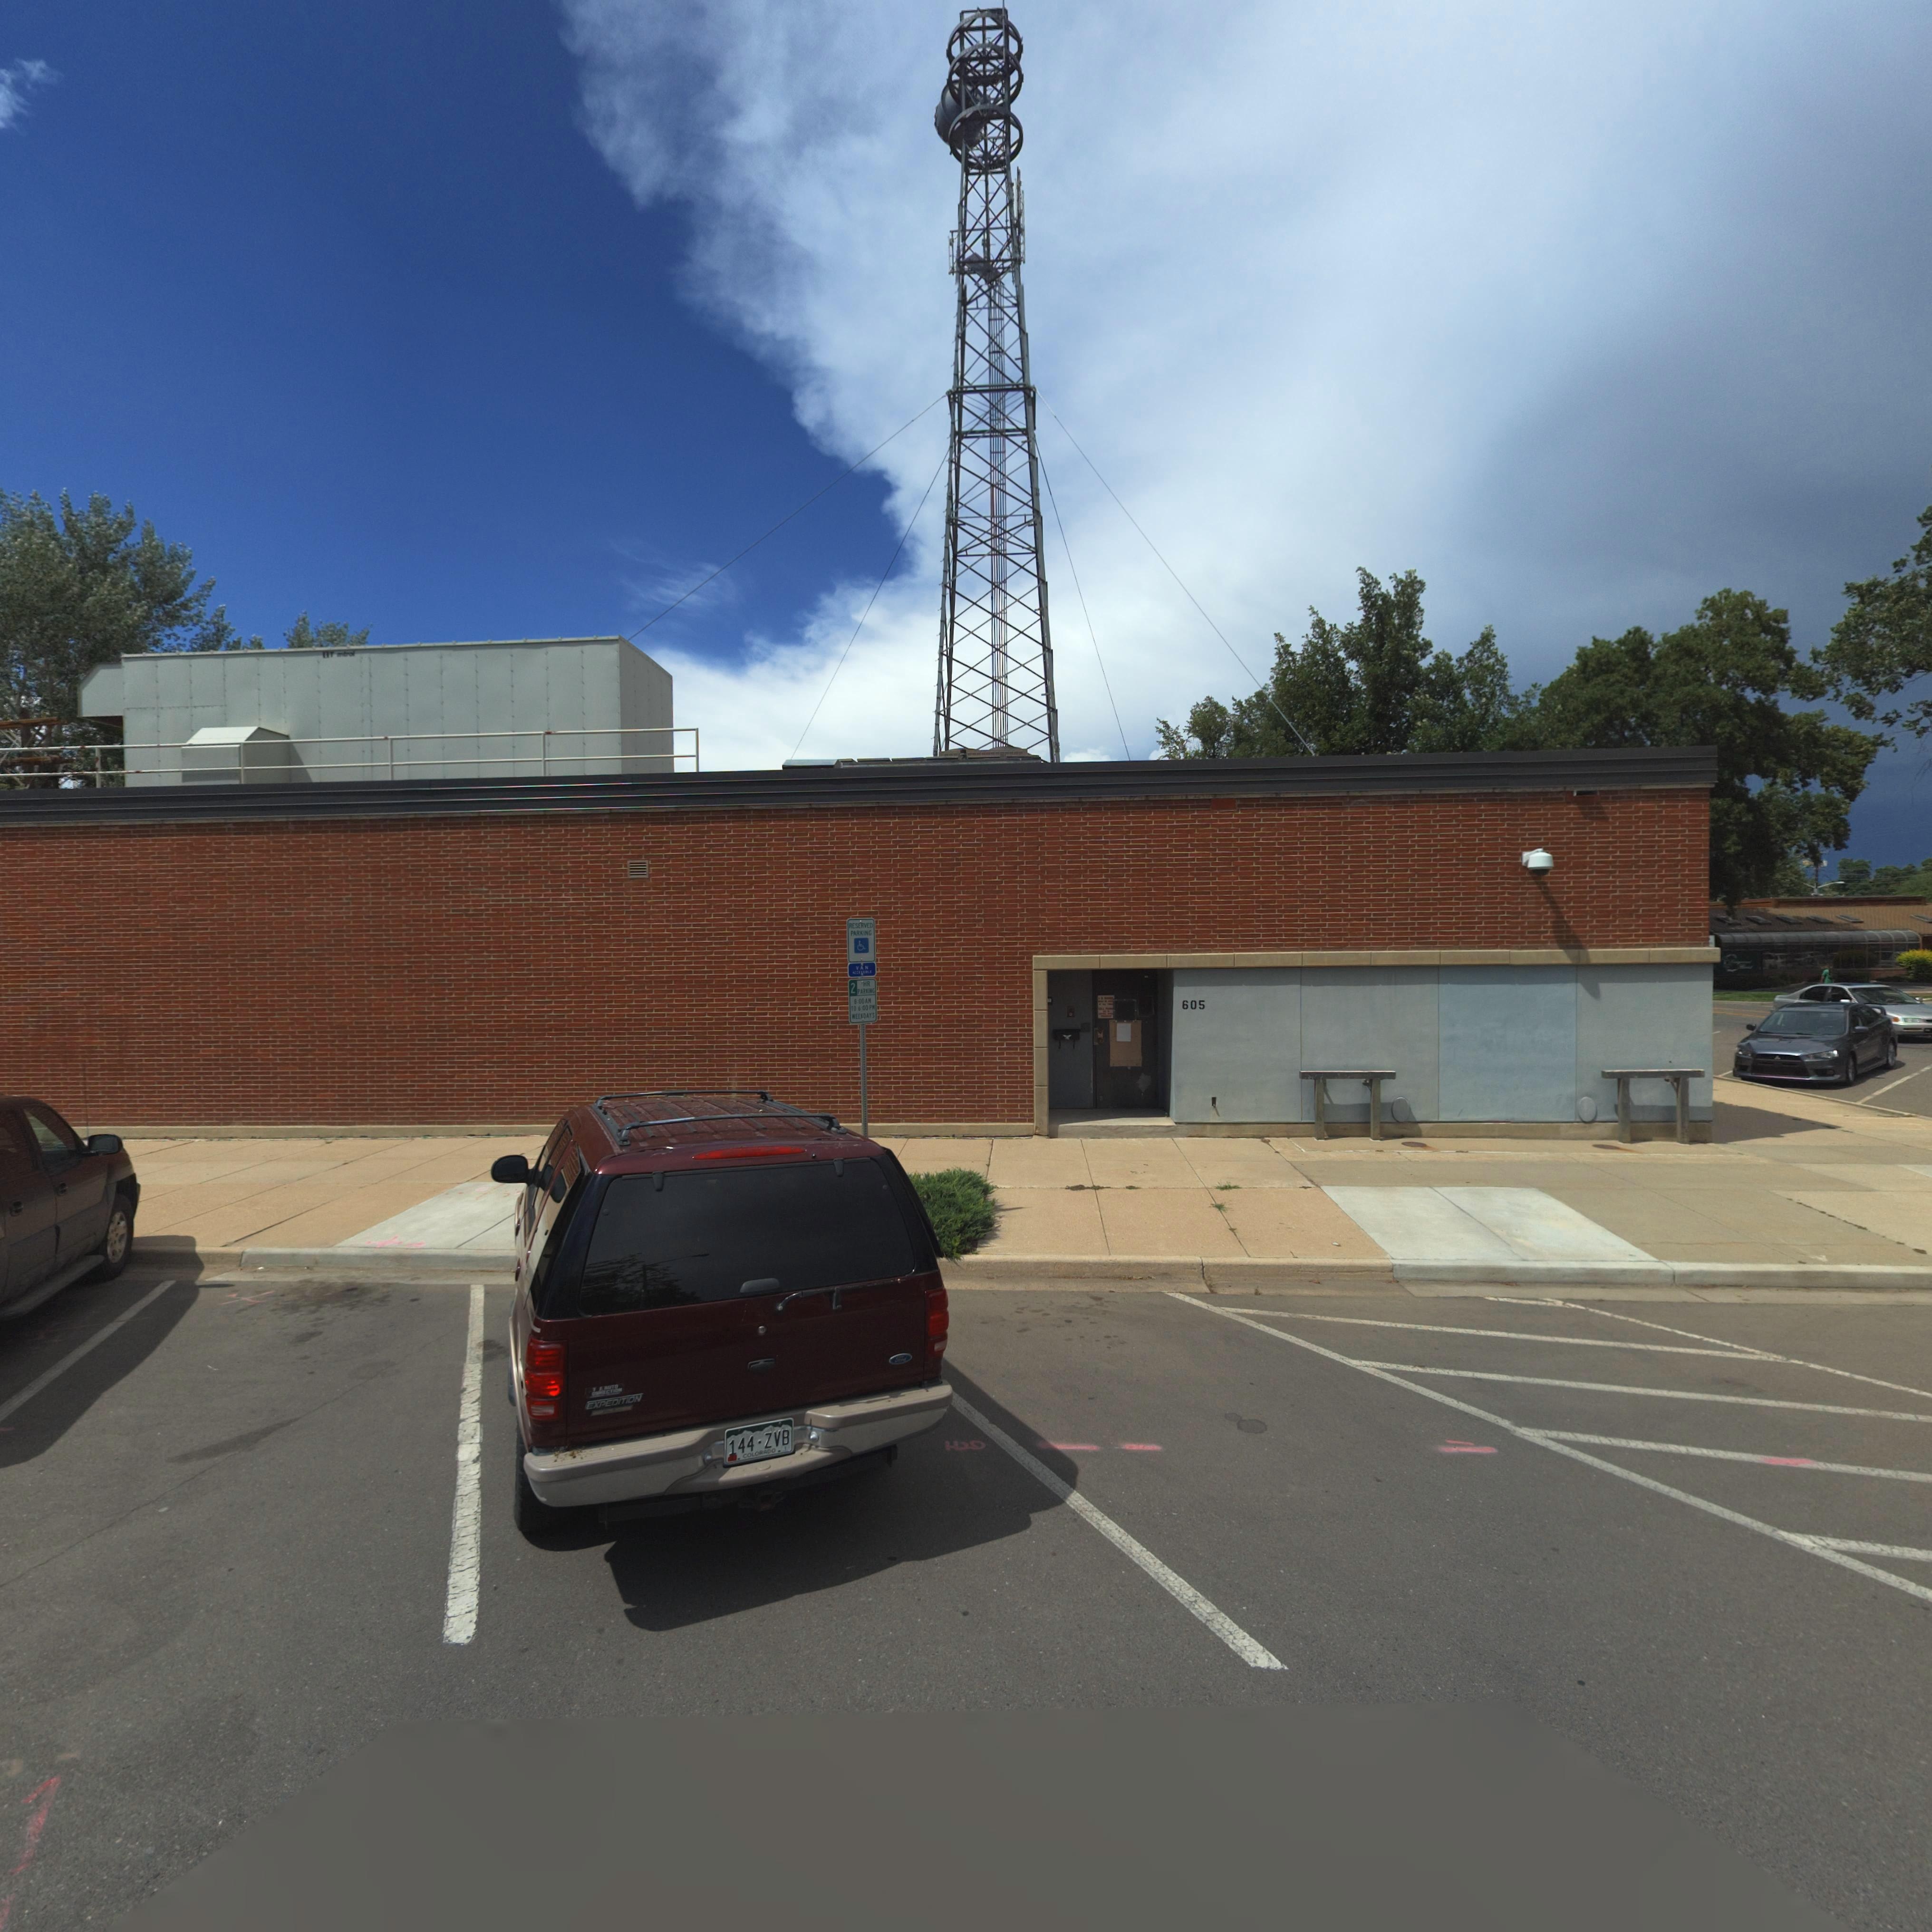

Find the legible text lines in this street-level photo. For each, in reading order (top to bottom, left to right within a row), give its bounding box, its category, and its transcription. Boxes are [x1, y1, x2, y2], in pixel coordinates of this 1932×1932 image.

[1181, 999, 1205, 1010] StreetNumber: 605